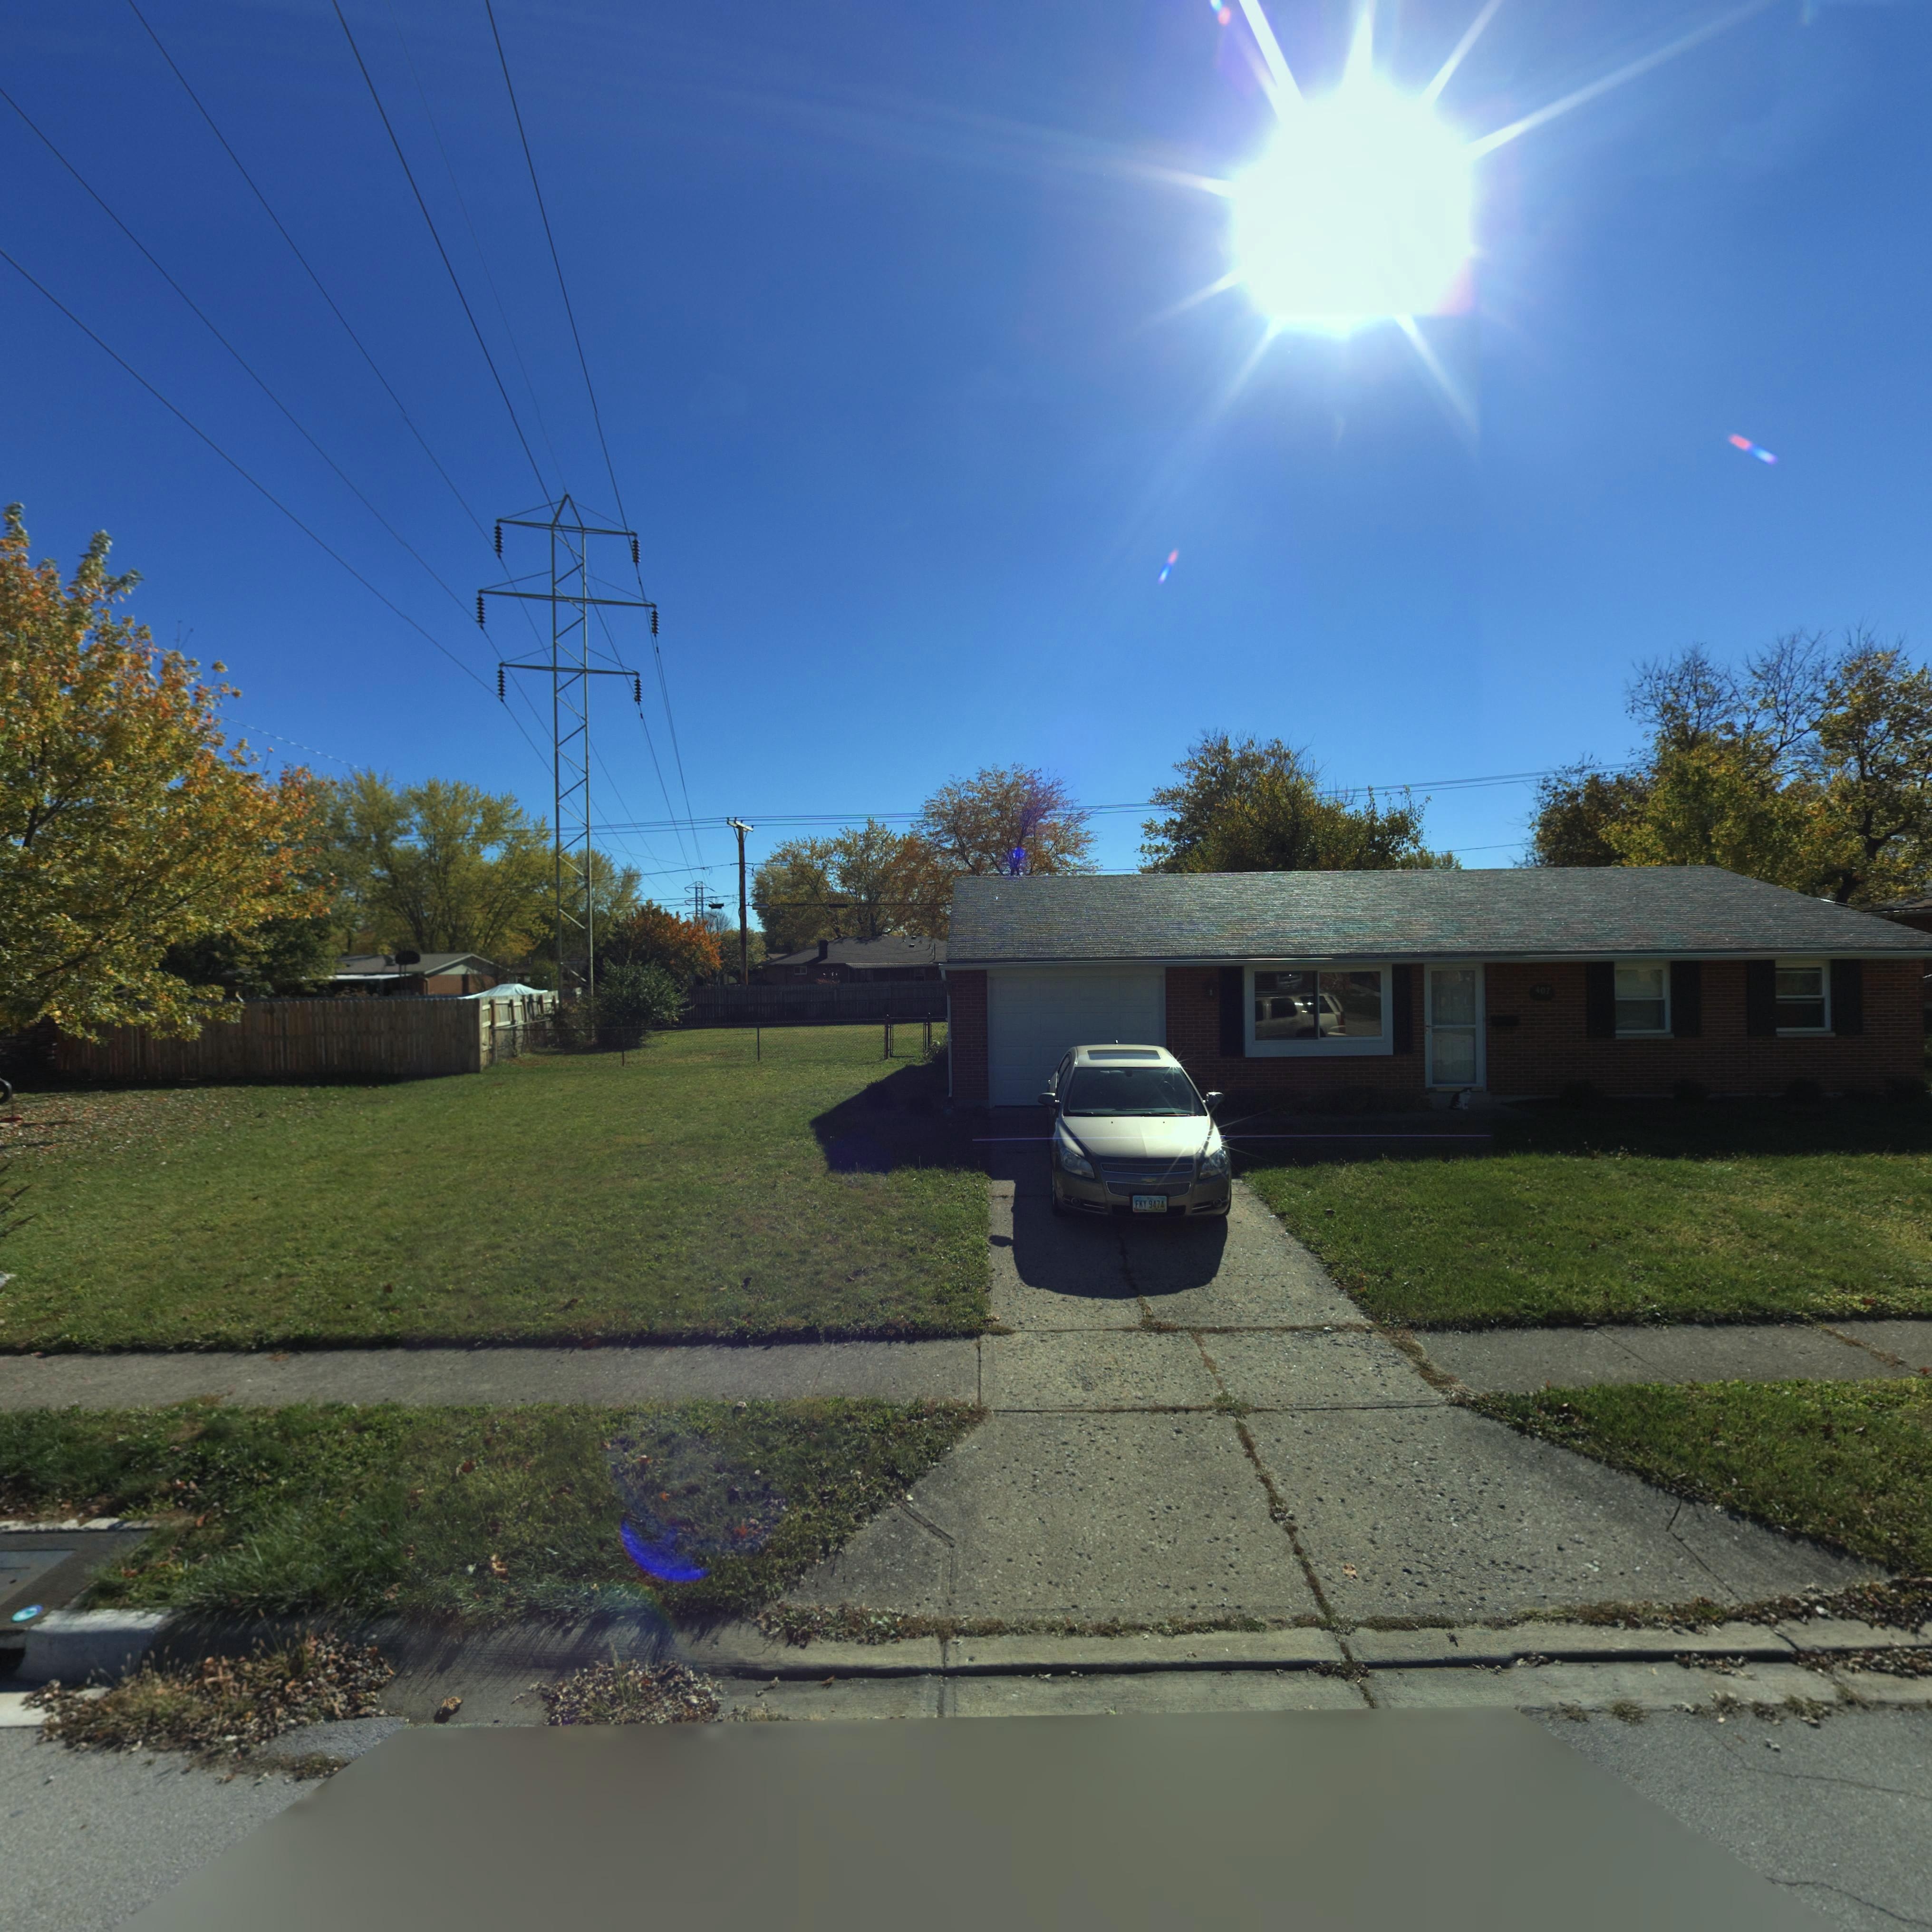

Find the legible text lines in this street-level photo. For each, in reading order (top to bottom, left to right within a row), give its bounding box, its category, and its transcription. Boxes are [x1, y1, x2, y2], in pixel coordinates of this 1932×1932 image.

[1535, 985, 1552, 996] StreetNumber: *07